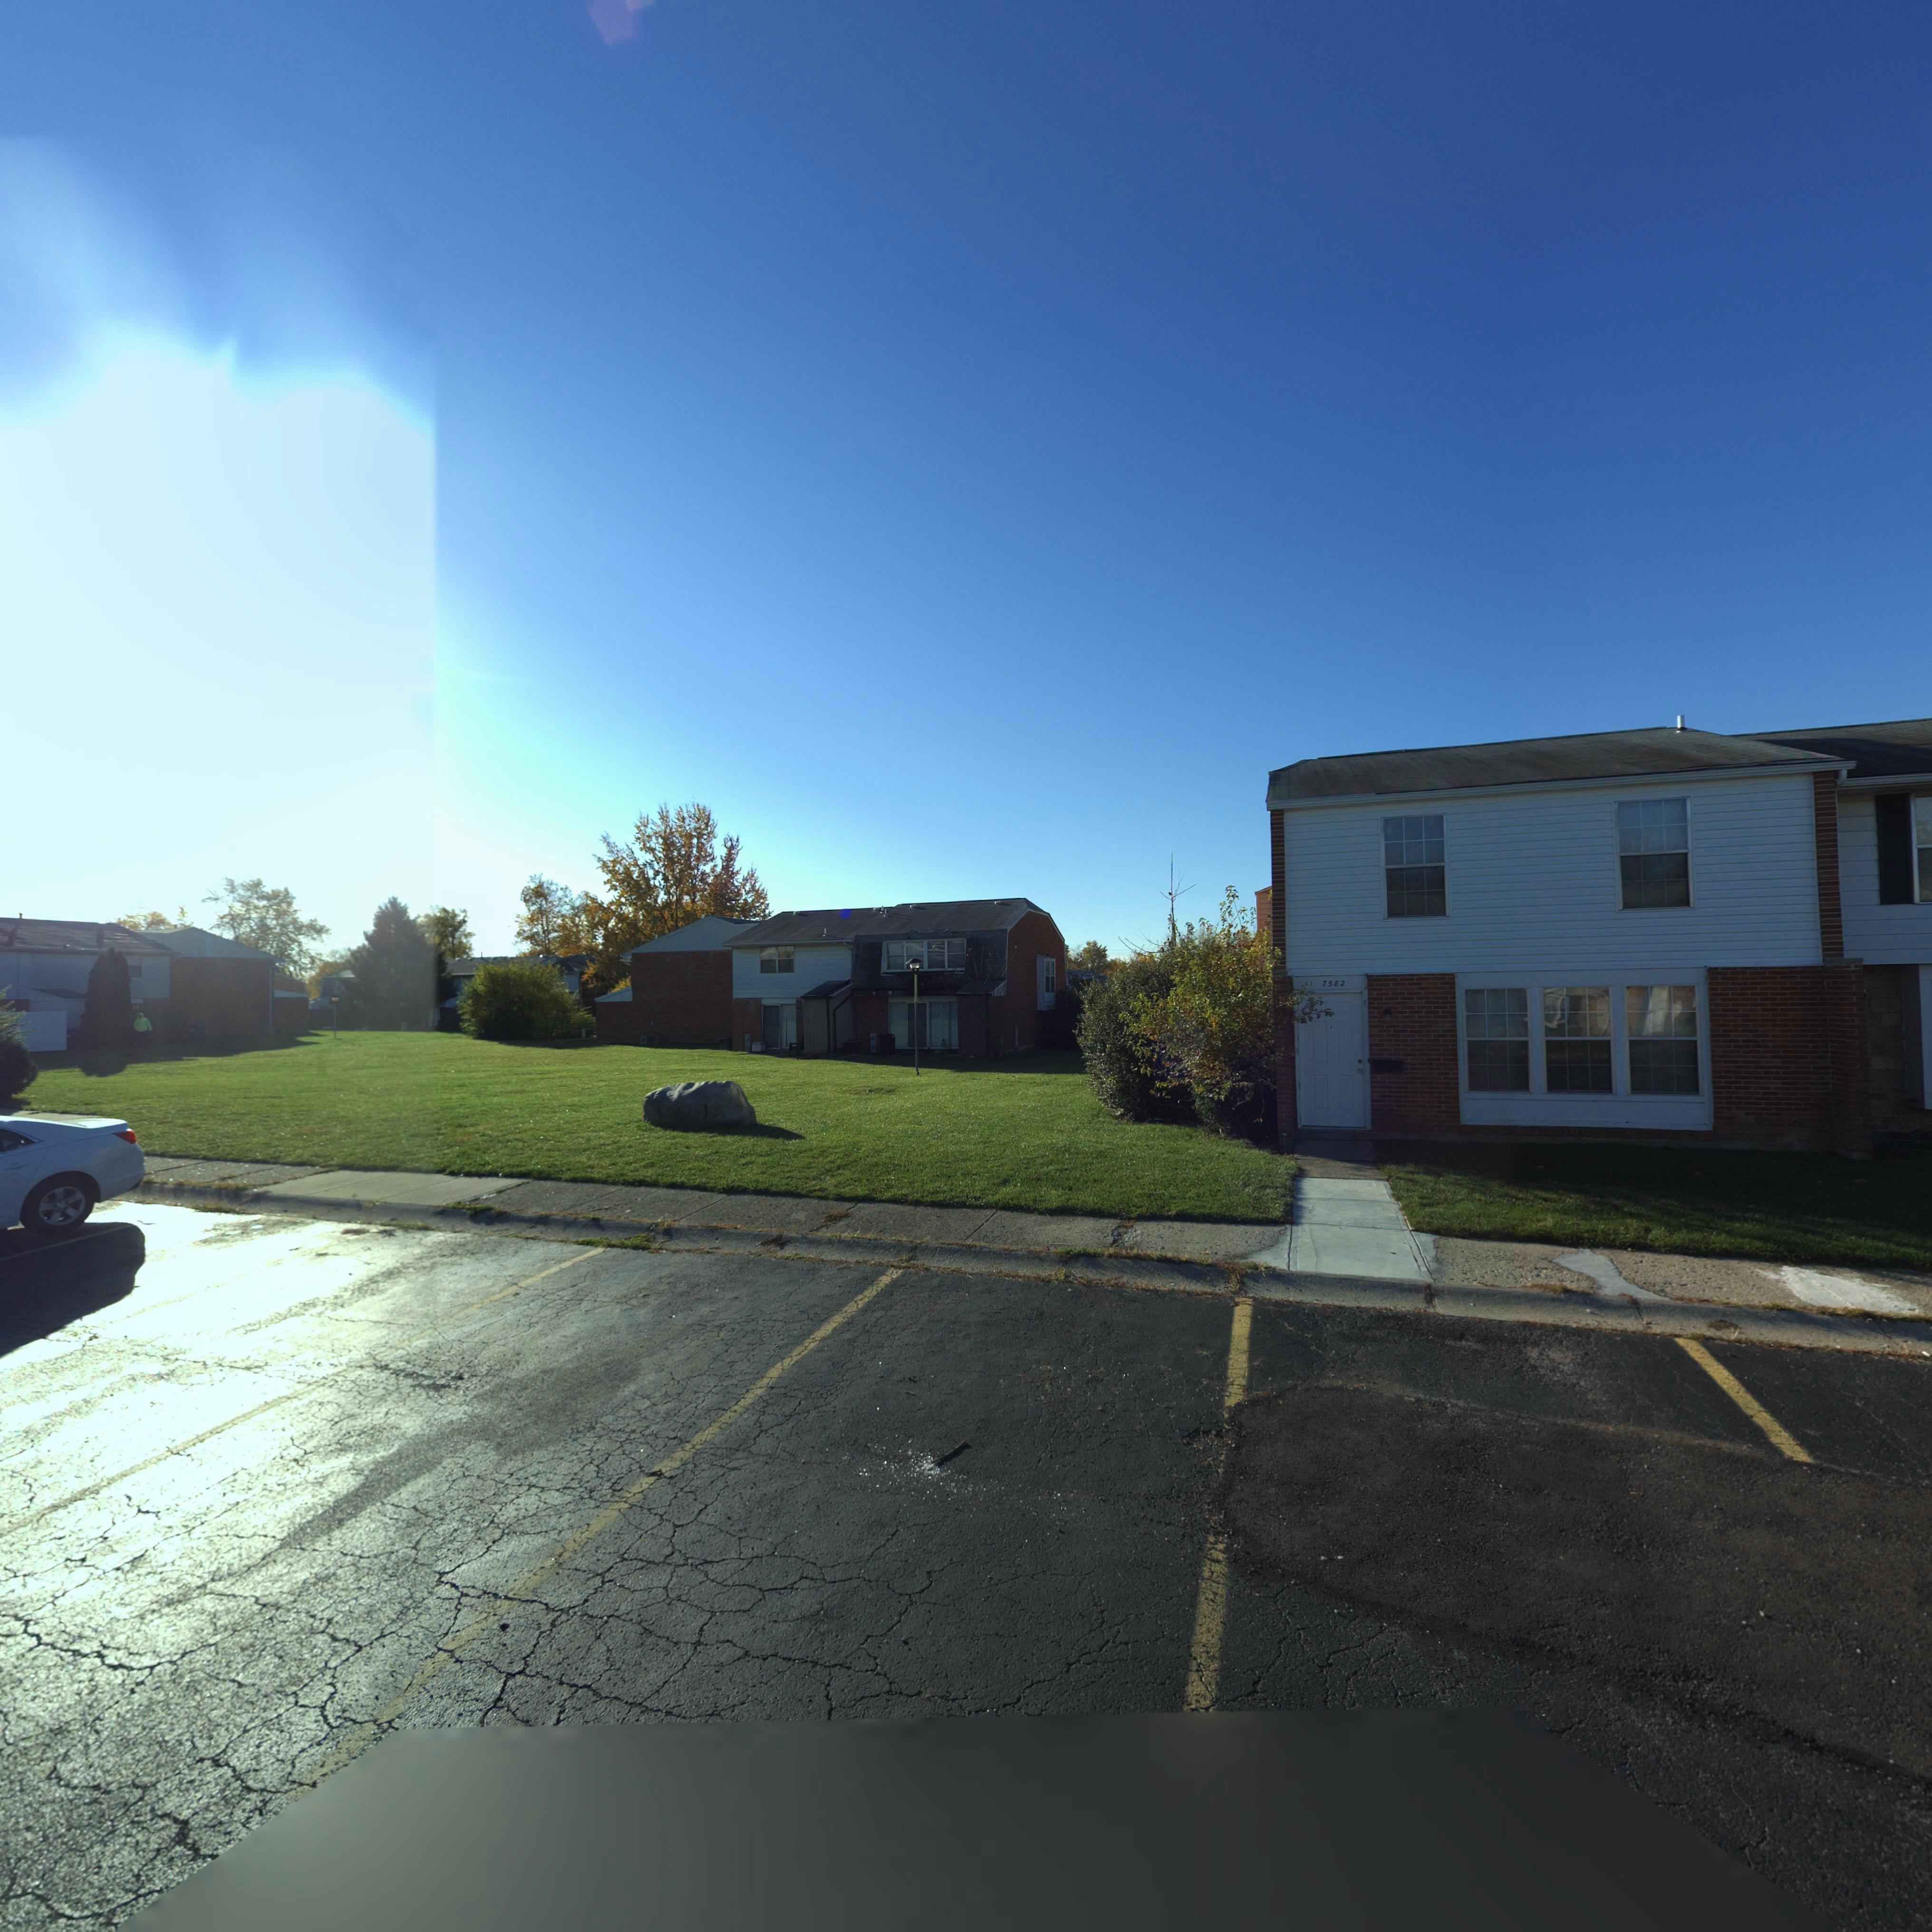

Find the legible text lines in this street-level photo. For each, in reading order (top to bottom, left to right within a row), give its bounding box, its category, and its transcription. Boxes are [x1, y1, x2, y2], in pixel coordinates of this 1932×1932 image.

[1322, 979, 1346, 988] StreetNumber: 7582